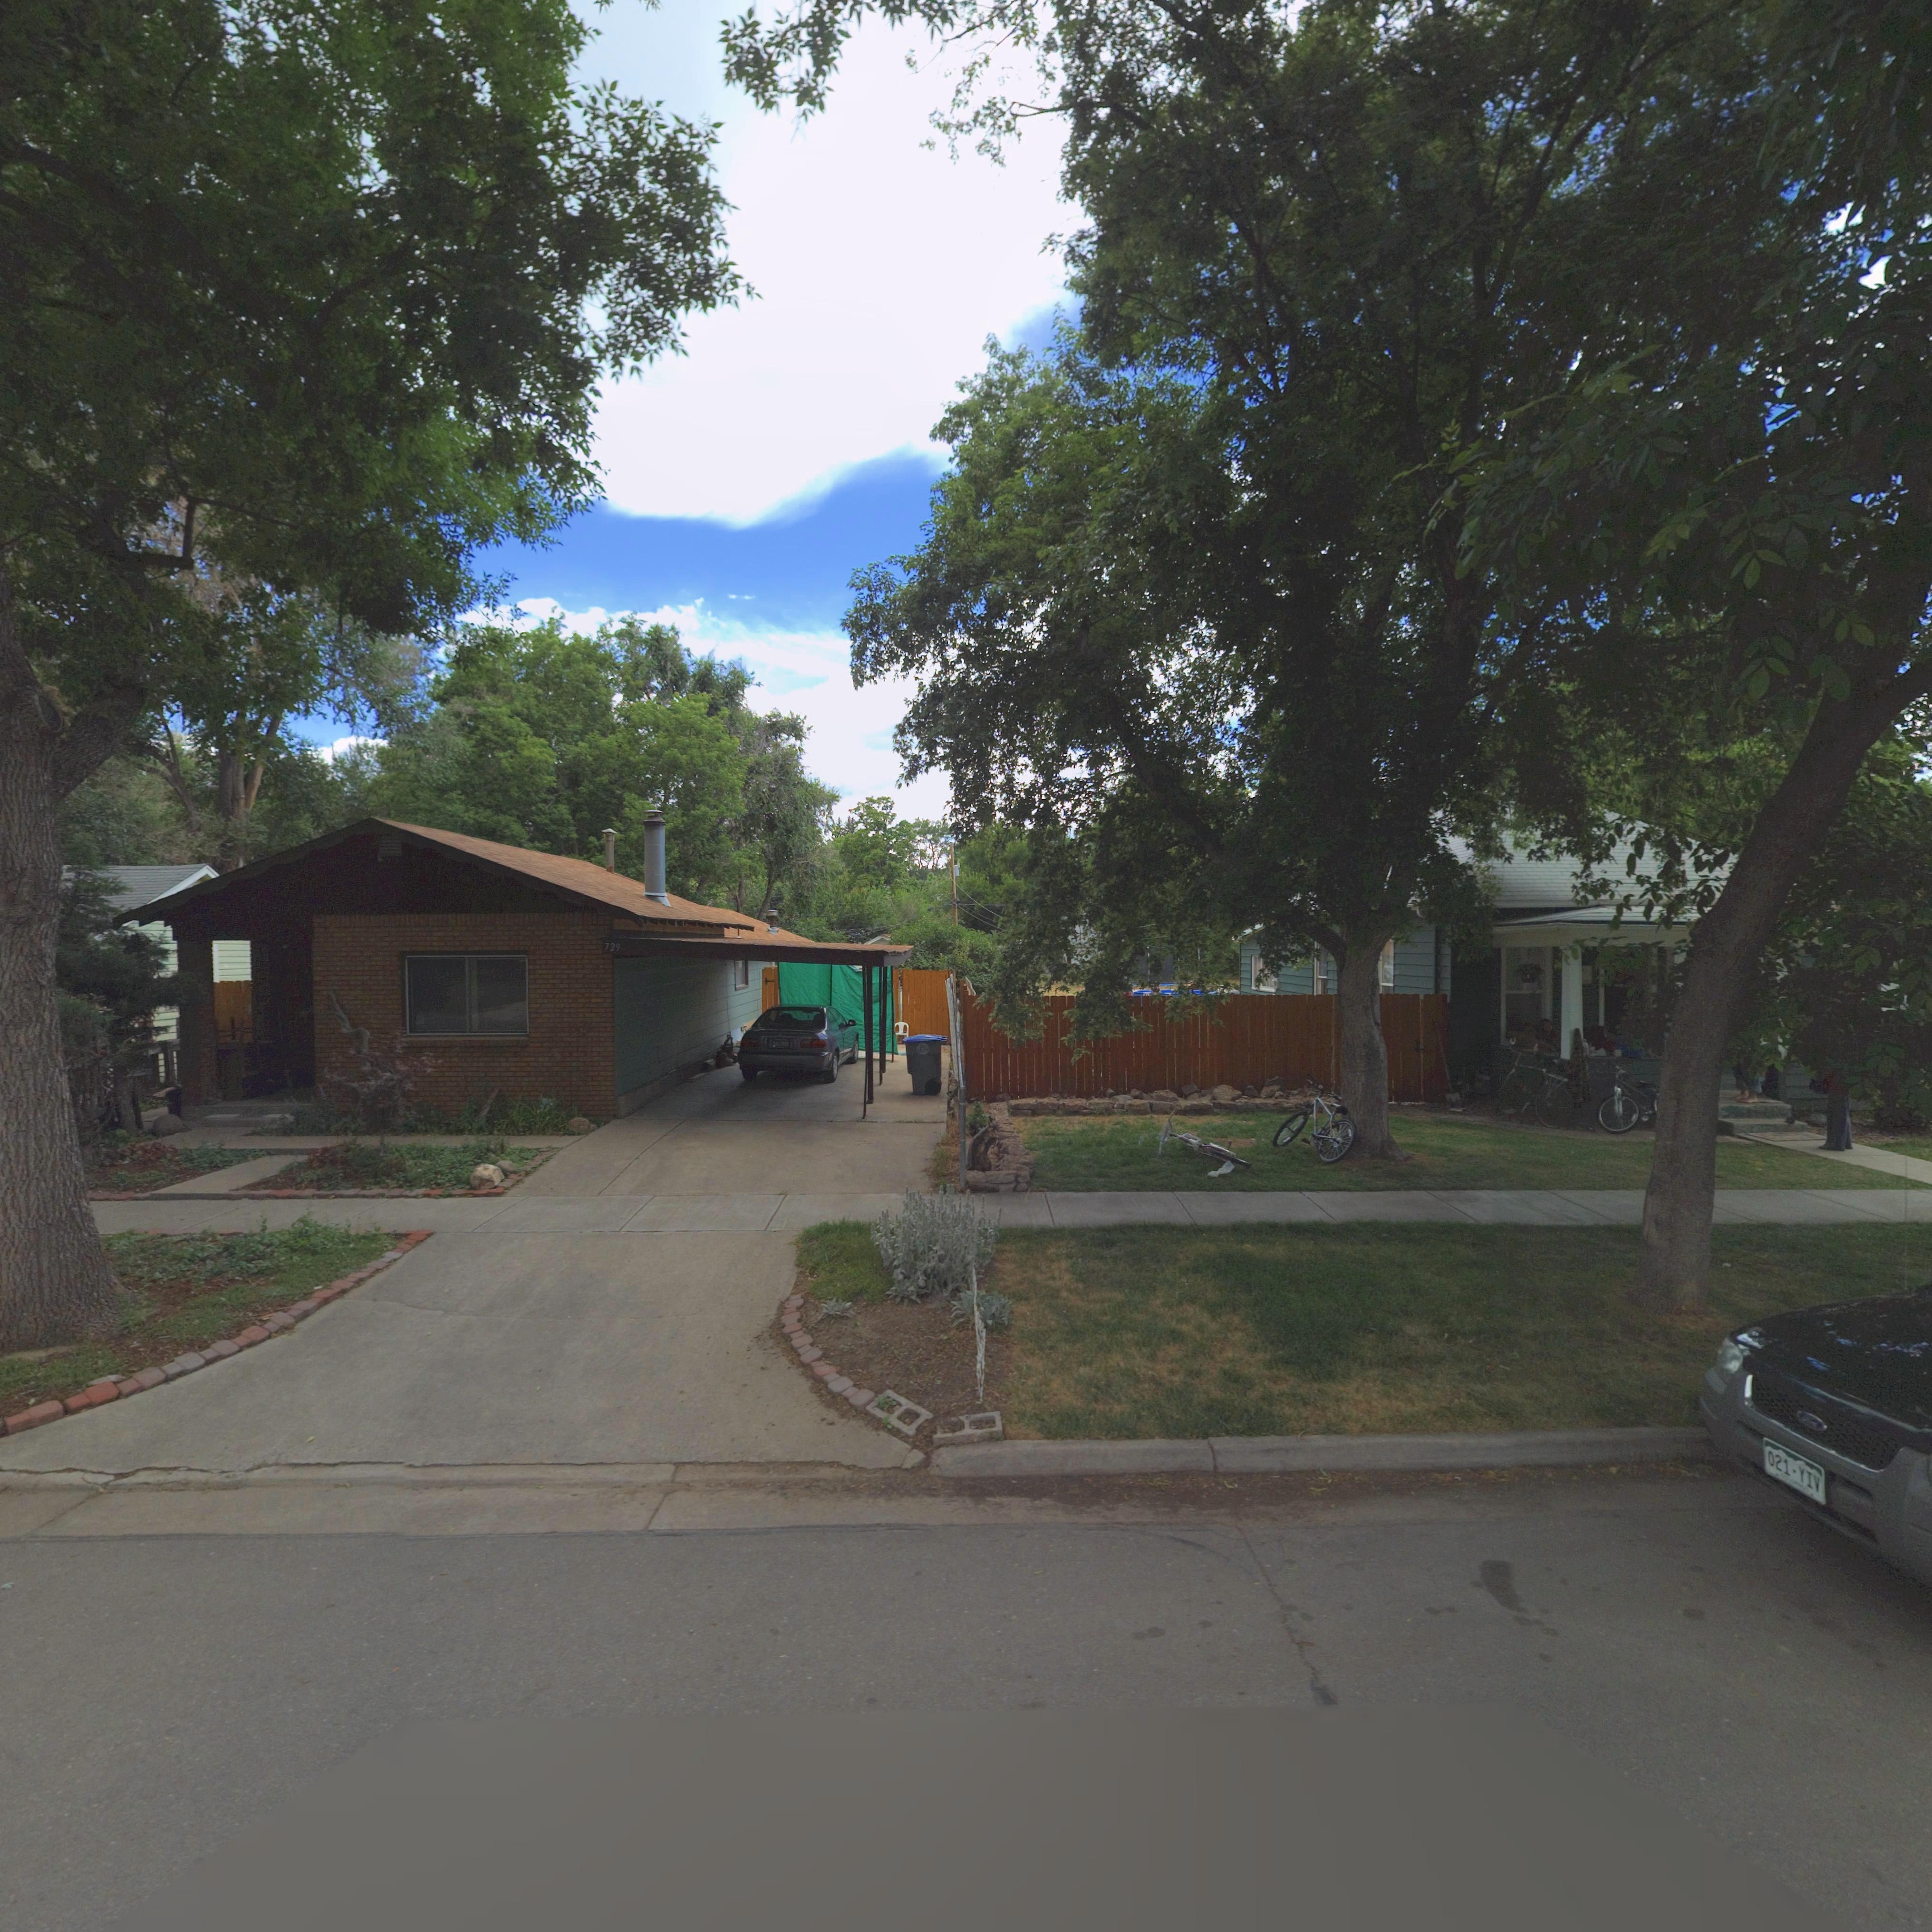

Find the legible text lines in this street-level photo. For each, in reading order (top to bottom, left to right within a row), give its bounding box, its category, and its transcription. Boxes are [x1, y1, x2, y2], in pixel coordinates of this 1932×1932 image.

[603, 942, 620, 952] StreetNumber: 729